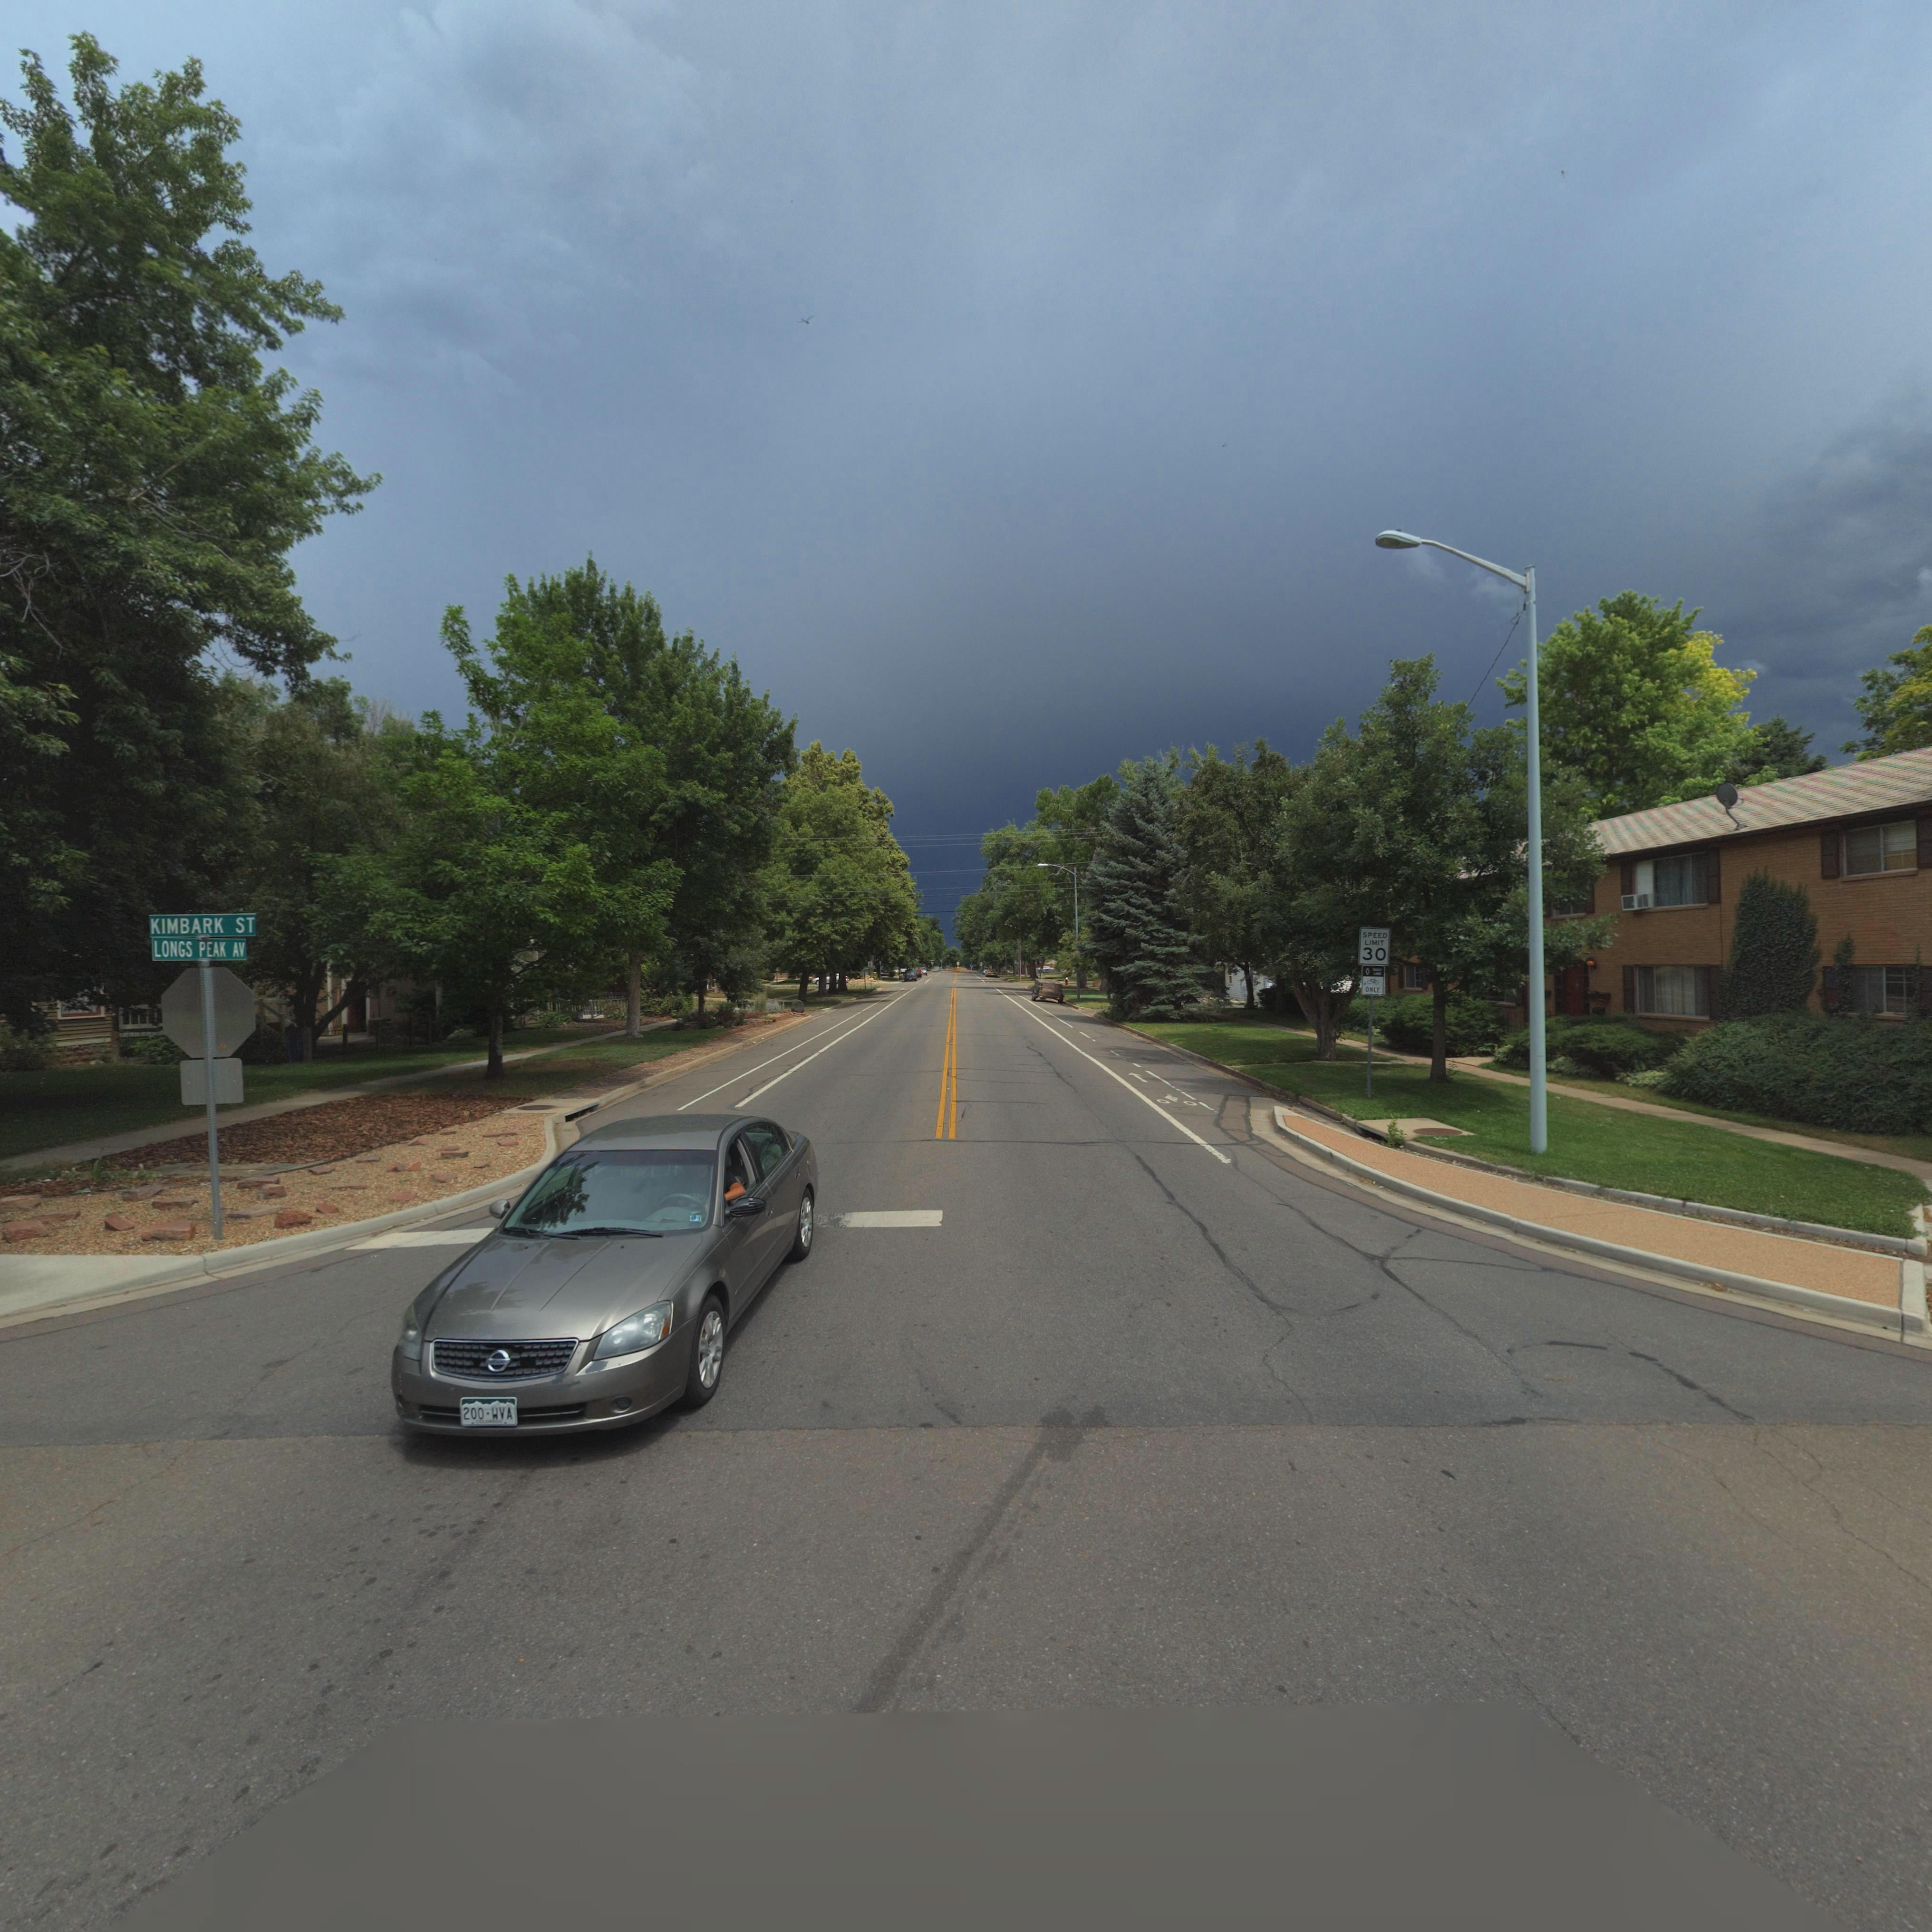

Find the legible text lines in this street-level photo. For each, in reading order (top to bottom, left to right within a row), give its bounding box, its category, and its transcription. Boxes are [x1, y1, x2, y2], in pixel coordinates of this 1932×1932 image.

[151, 917, 255, 935] StreetName: KIMBARK ST
[154, 940, 245, 958] StreetName: LONGS PEAK AV